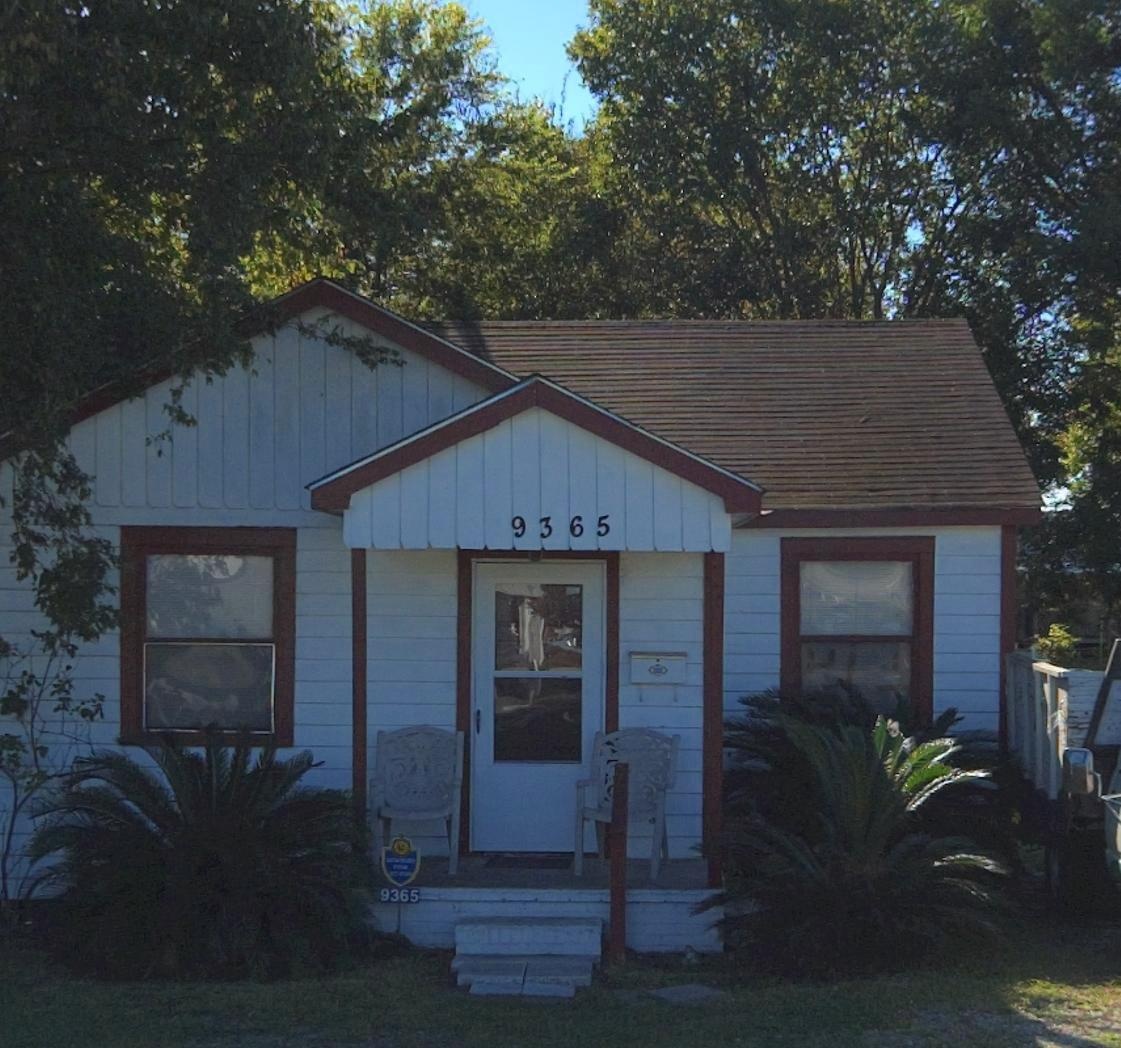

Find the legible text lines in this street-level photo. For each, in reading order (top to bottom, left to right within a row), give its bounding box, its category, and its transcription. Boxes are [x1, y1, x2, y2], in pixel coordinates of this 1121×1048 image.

[510, 514, 611, 539] StreetNumber: 9365
[379, 886, 420, 903] StreetNumber: 9365